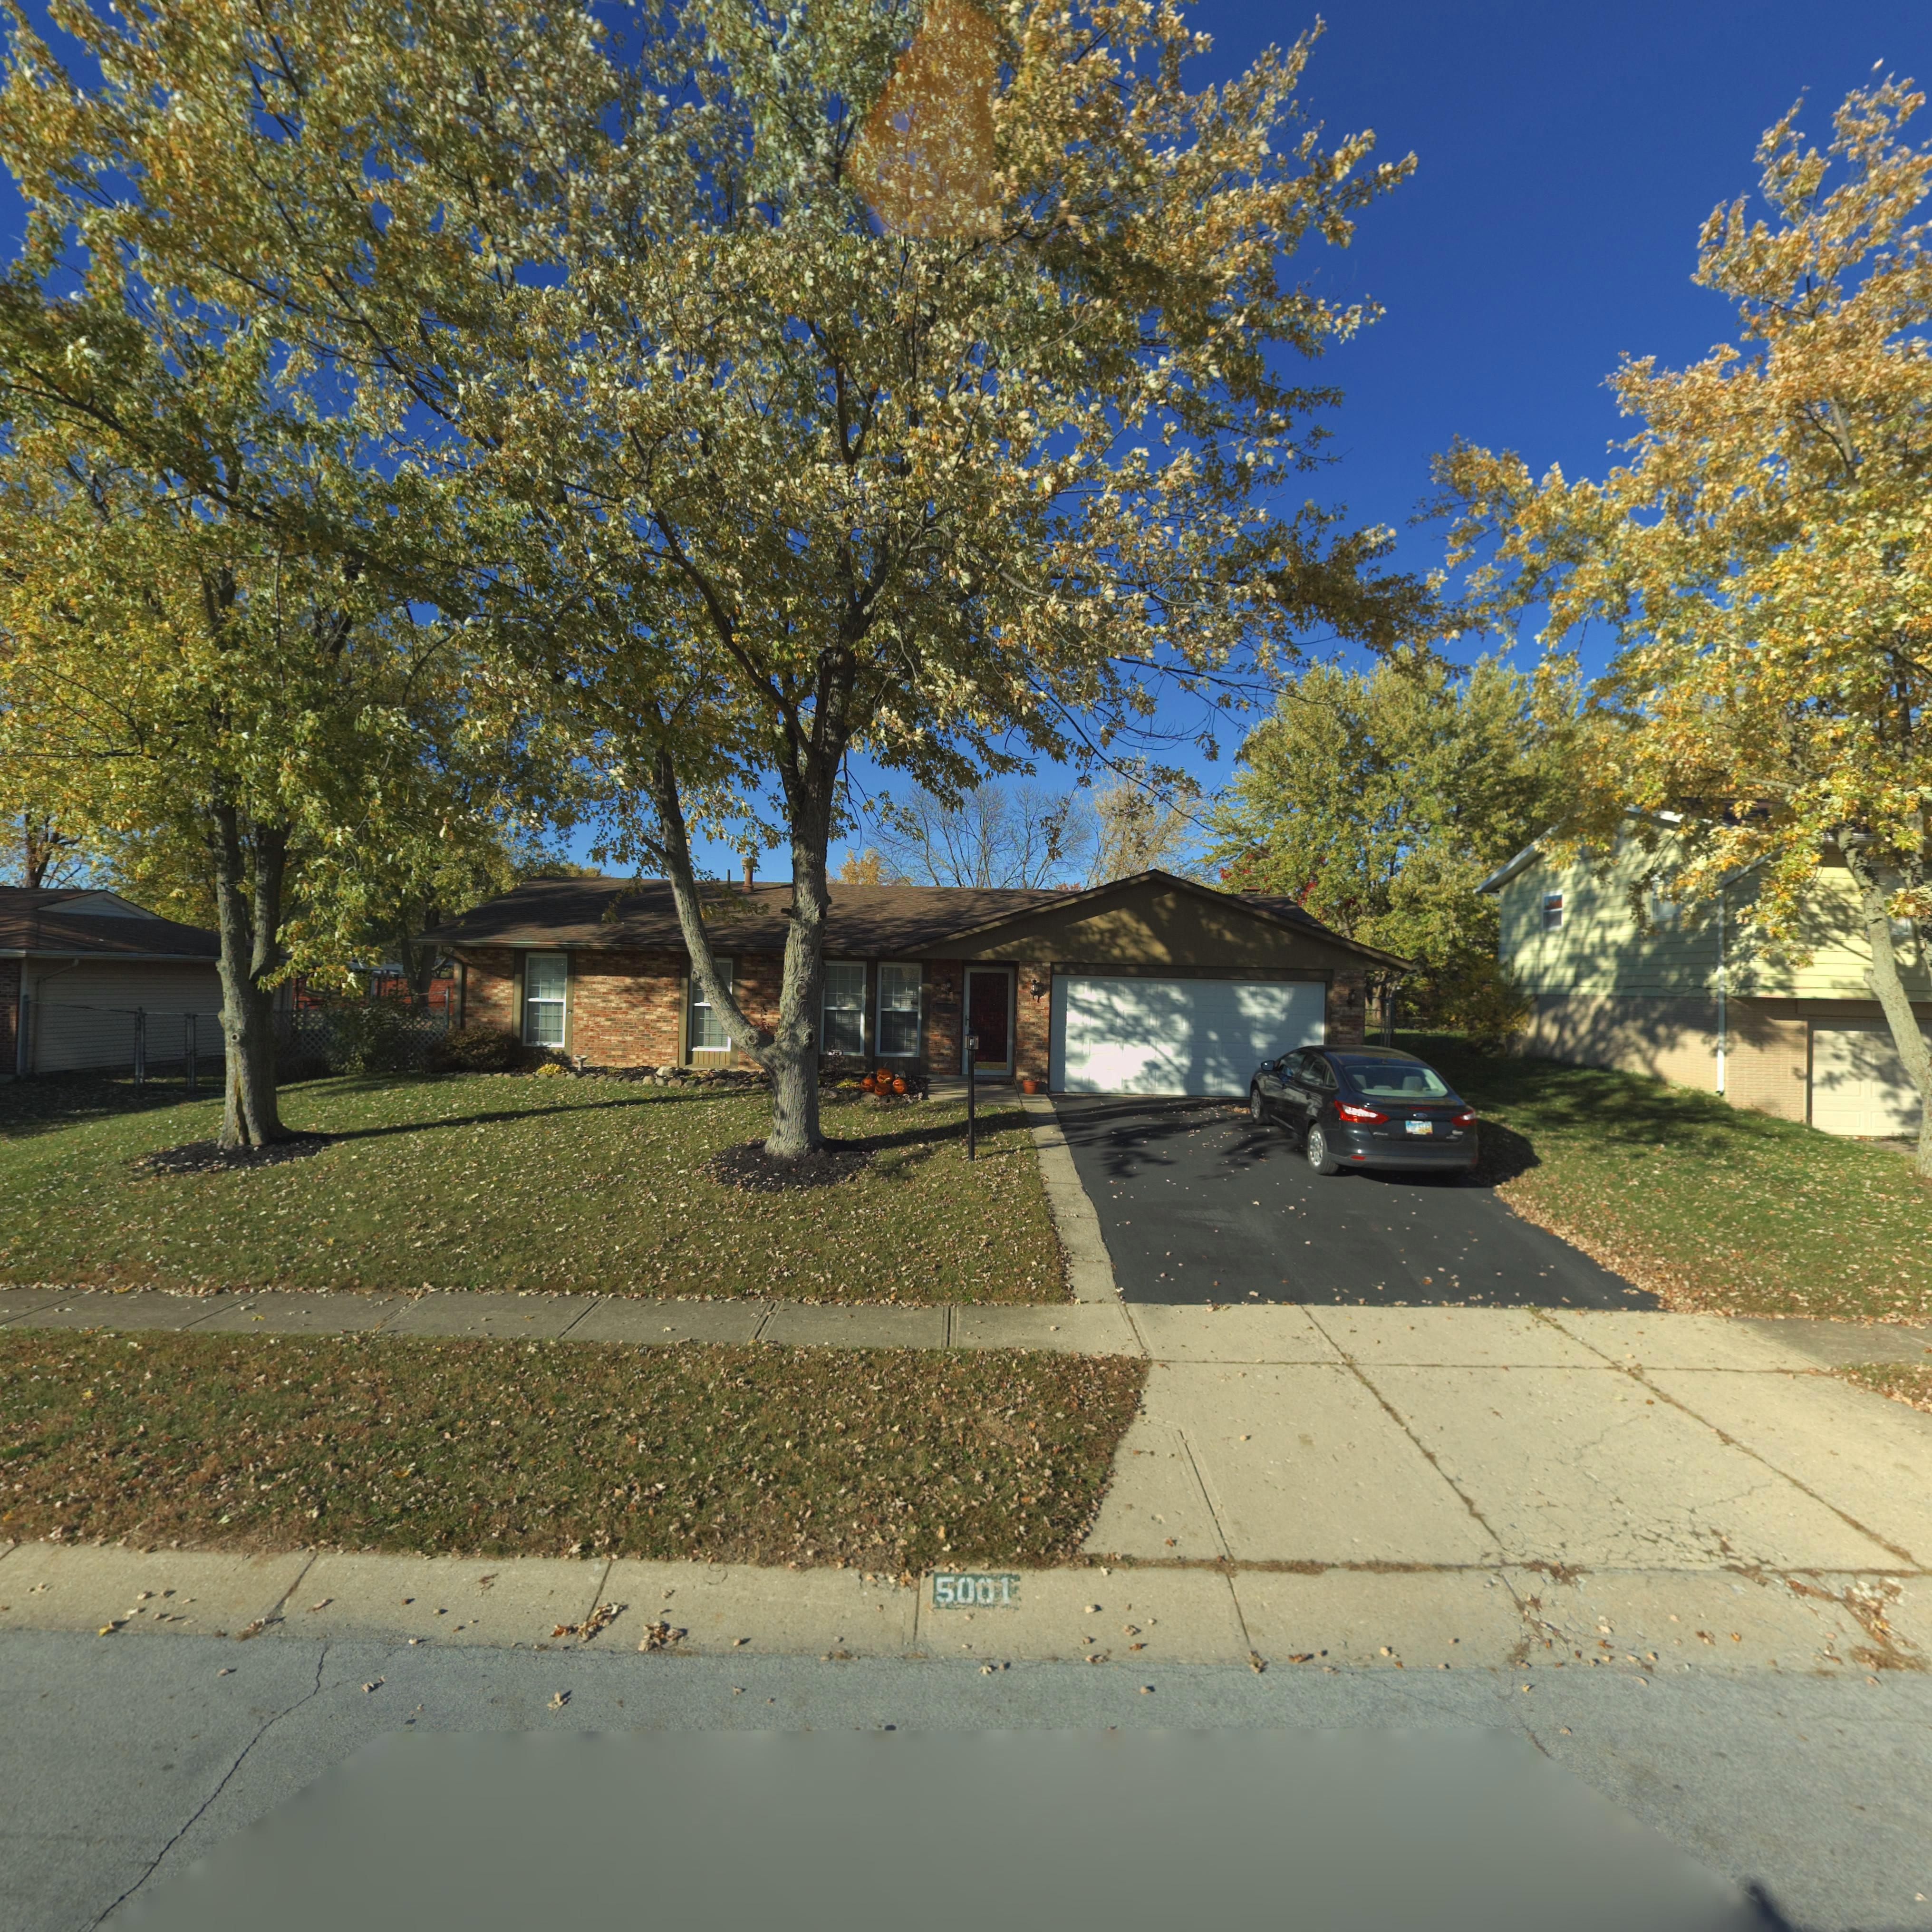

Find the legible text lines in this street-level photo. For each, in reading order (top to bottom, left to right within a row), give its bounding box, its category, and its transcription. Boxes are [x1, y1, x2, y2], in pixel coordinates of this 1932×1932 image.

[933, 1573, 1012, 1607] StreetNumber: 5001